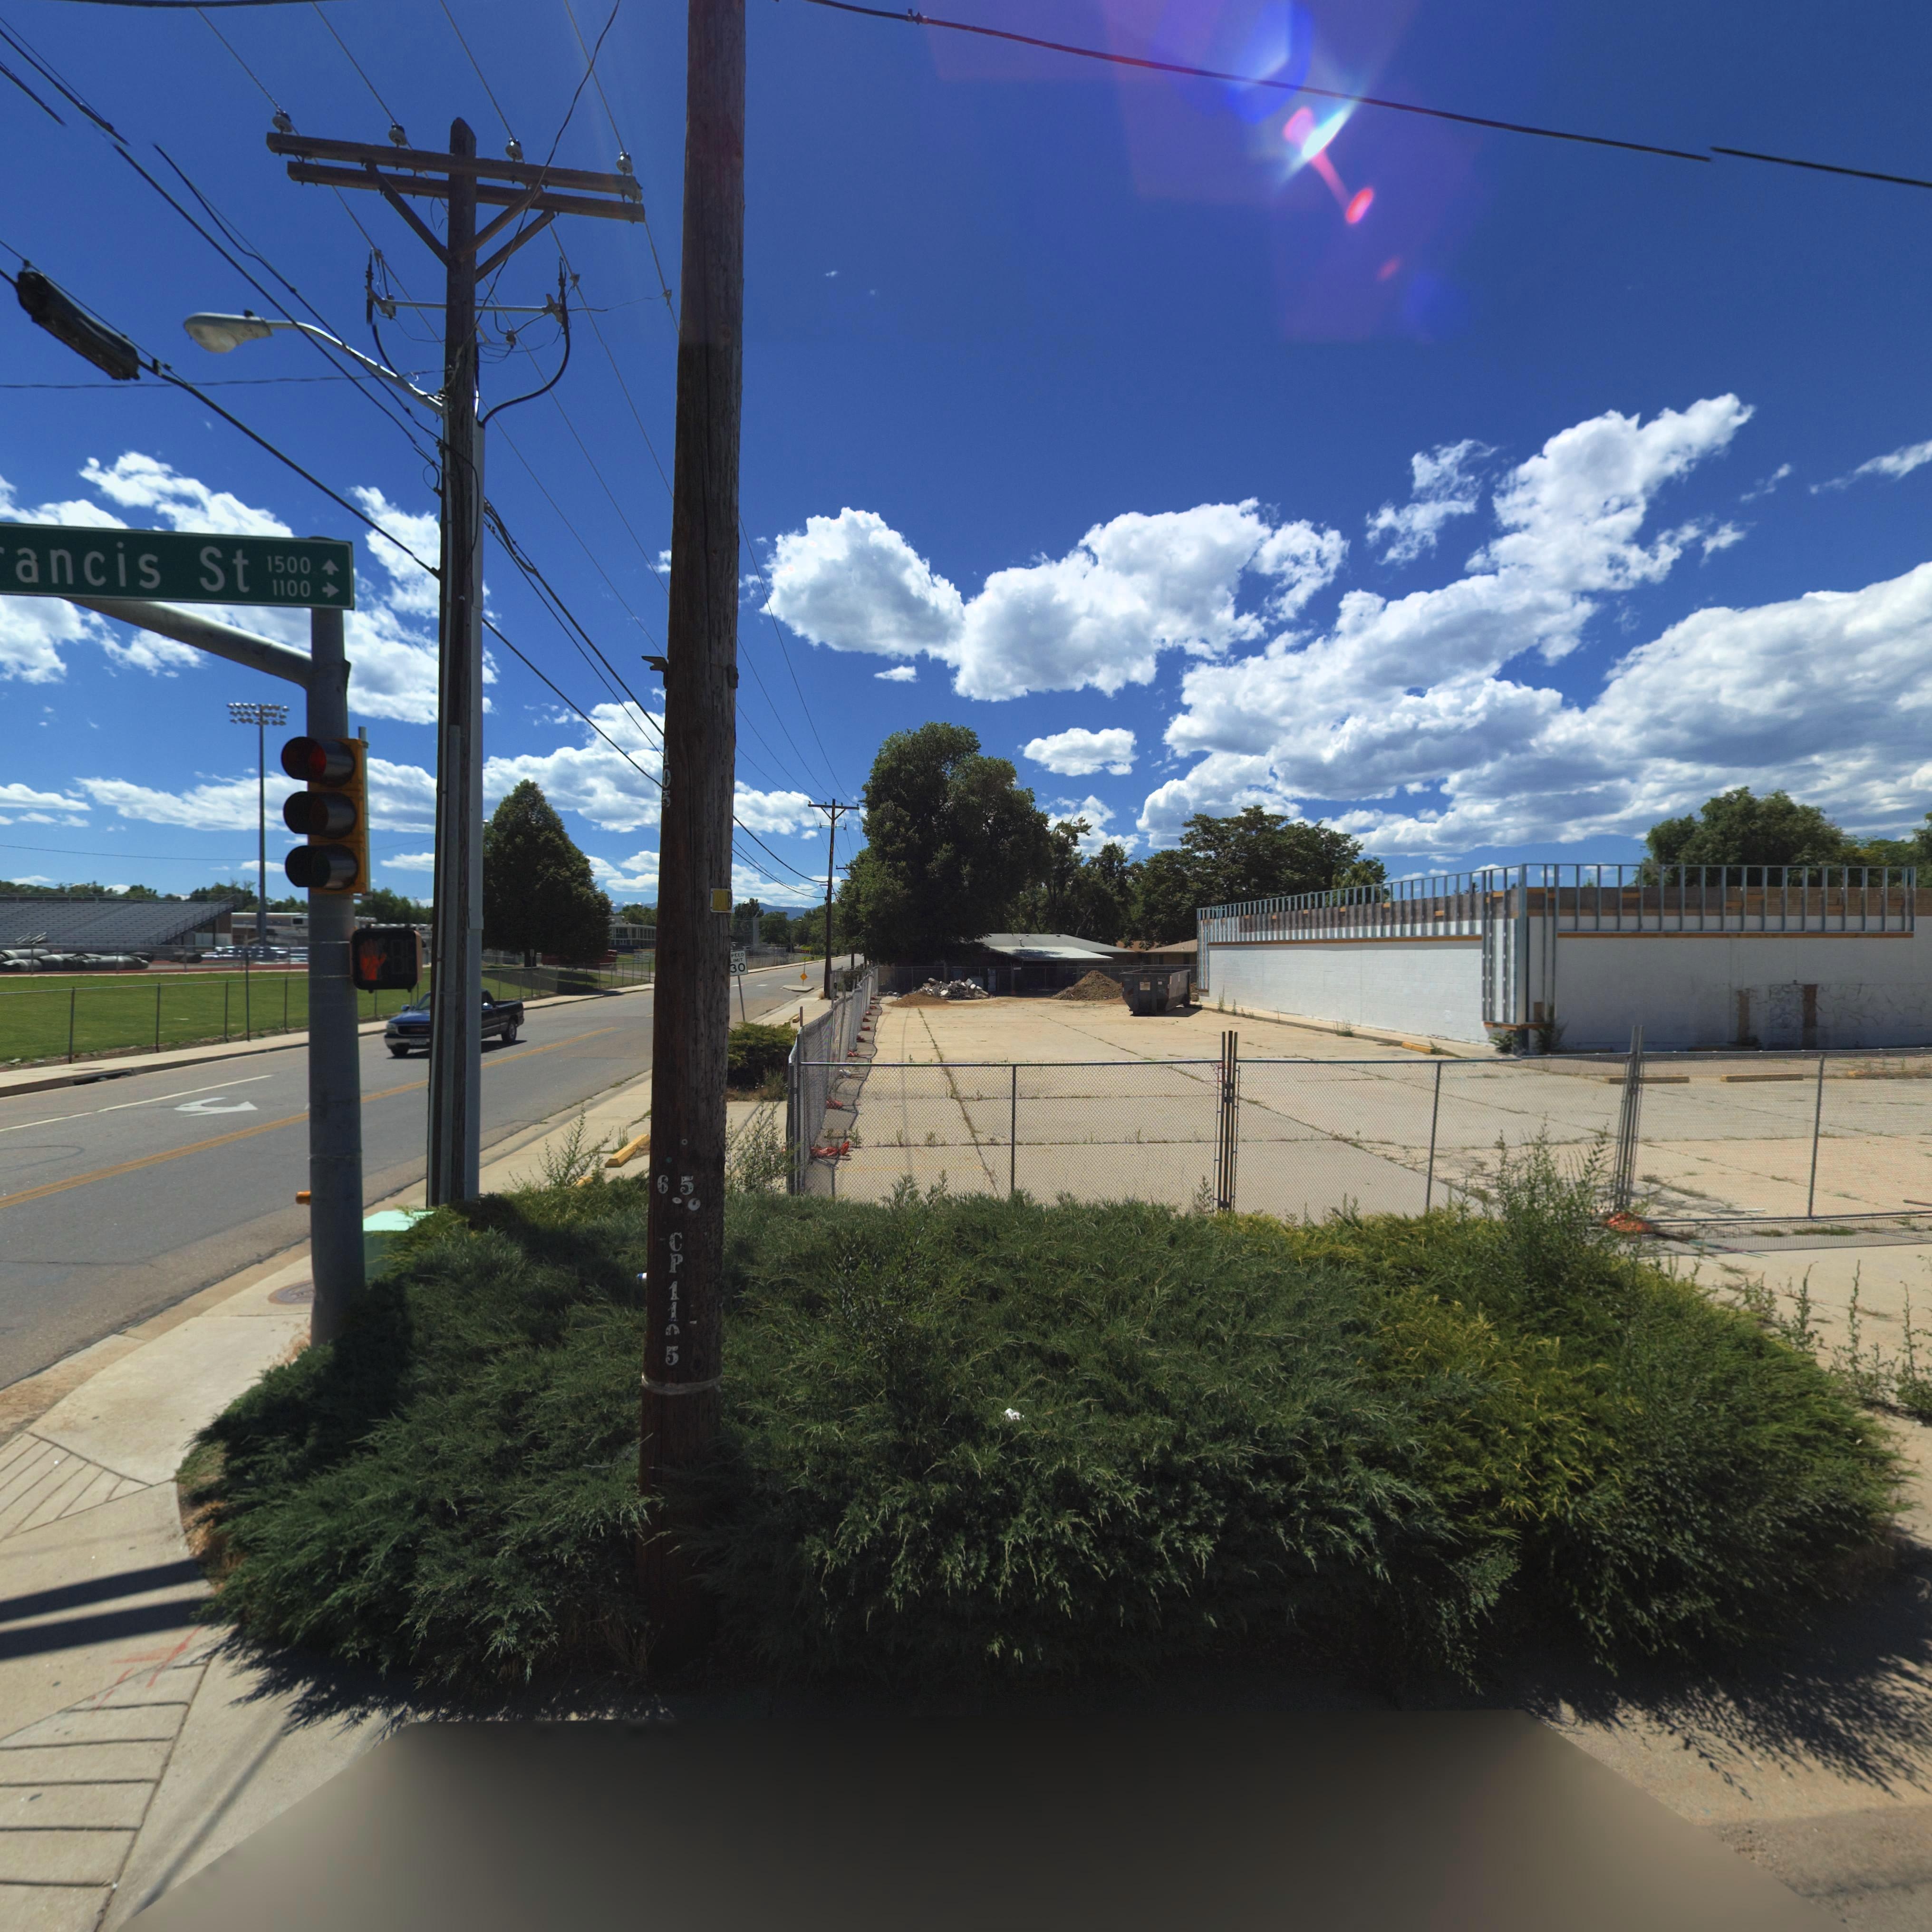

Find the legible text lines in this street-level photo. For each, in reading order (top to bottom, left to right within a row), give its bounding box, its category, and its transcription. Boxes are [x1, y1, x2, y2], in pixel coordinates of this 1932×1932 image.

[7, 541, 257, 599] StreetName: ancis St
[264, 554, 313, 574] StreetNumberRange: 1500
[272, 579, 341, 599] StreetNumberRange: 1100->